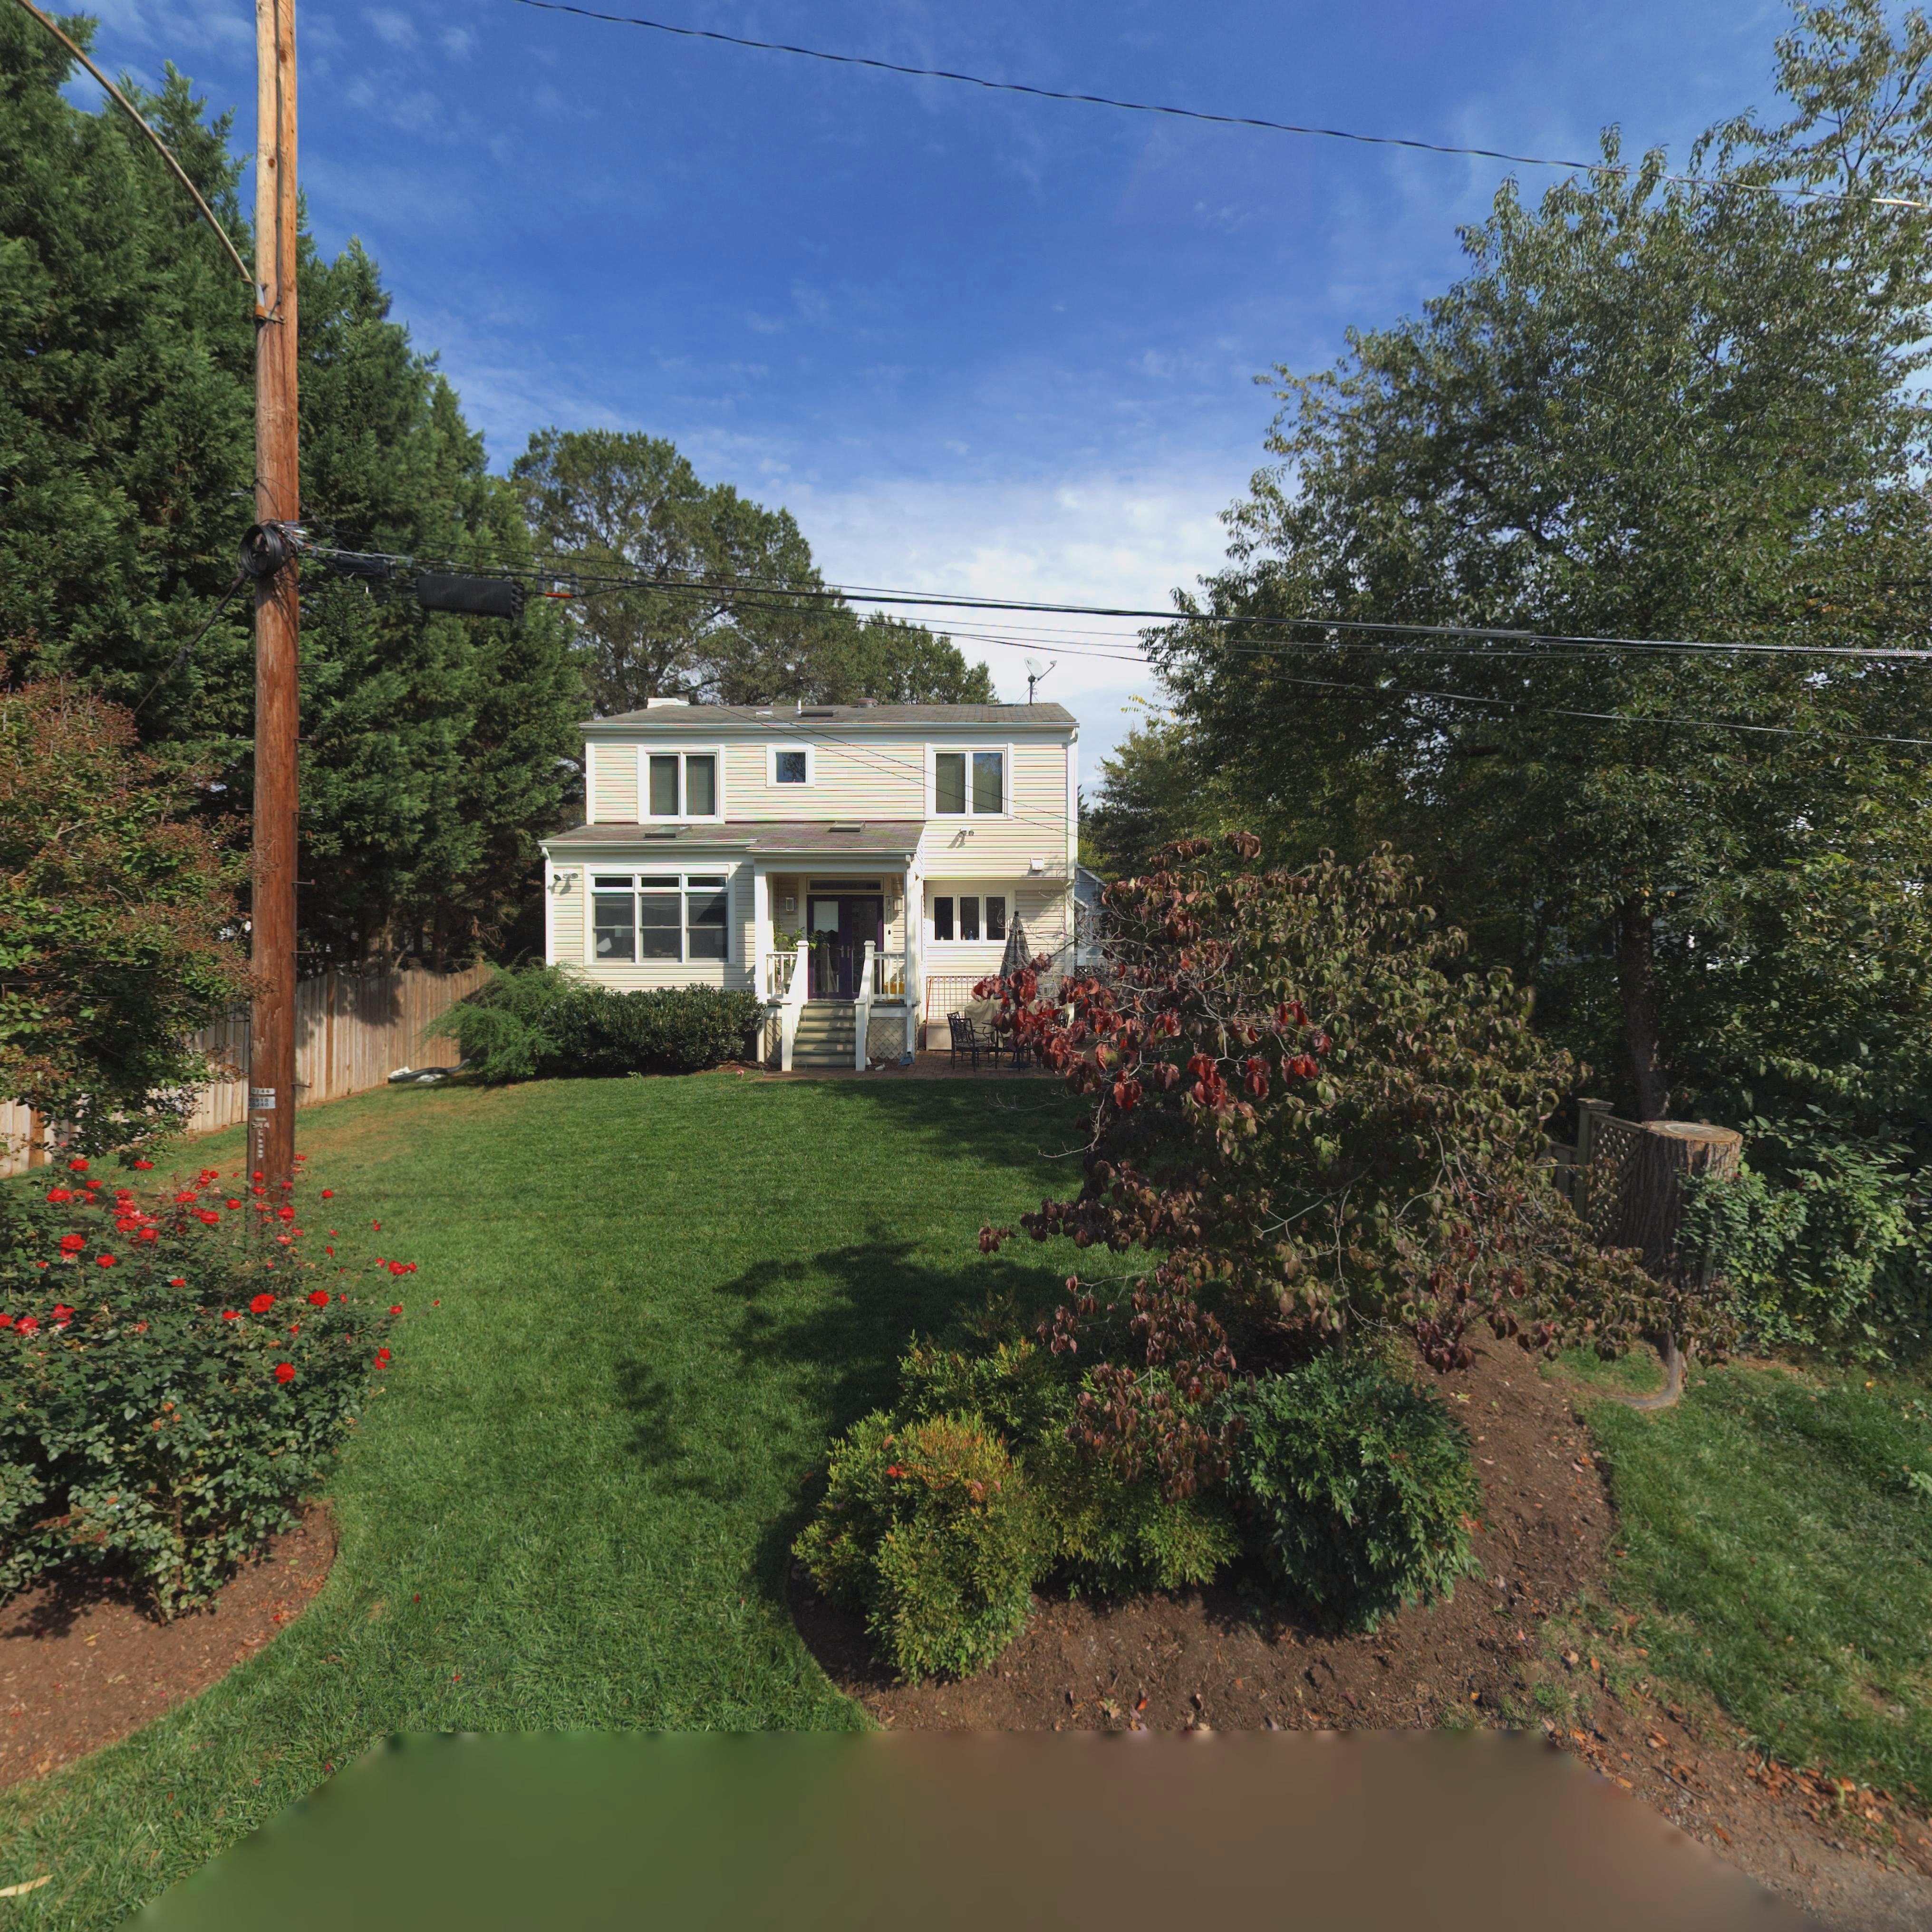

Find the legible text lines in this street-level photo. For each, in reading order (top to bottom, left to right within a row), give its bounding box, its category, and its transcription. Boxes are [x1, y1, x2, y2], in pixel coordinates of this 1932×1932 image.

[251, 1121, 271, 1130] None: 5*4